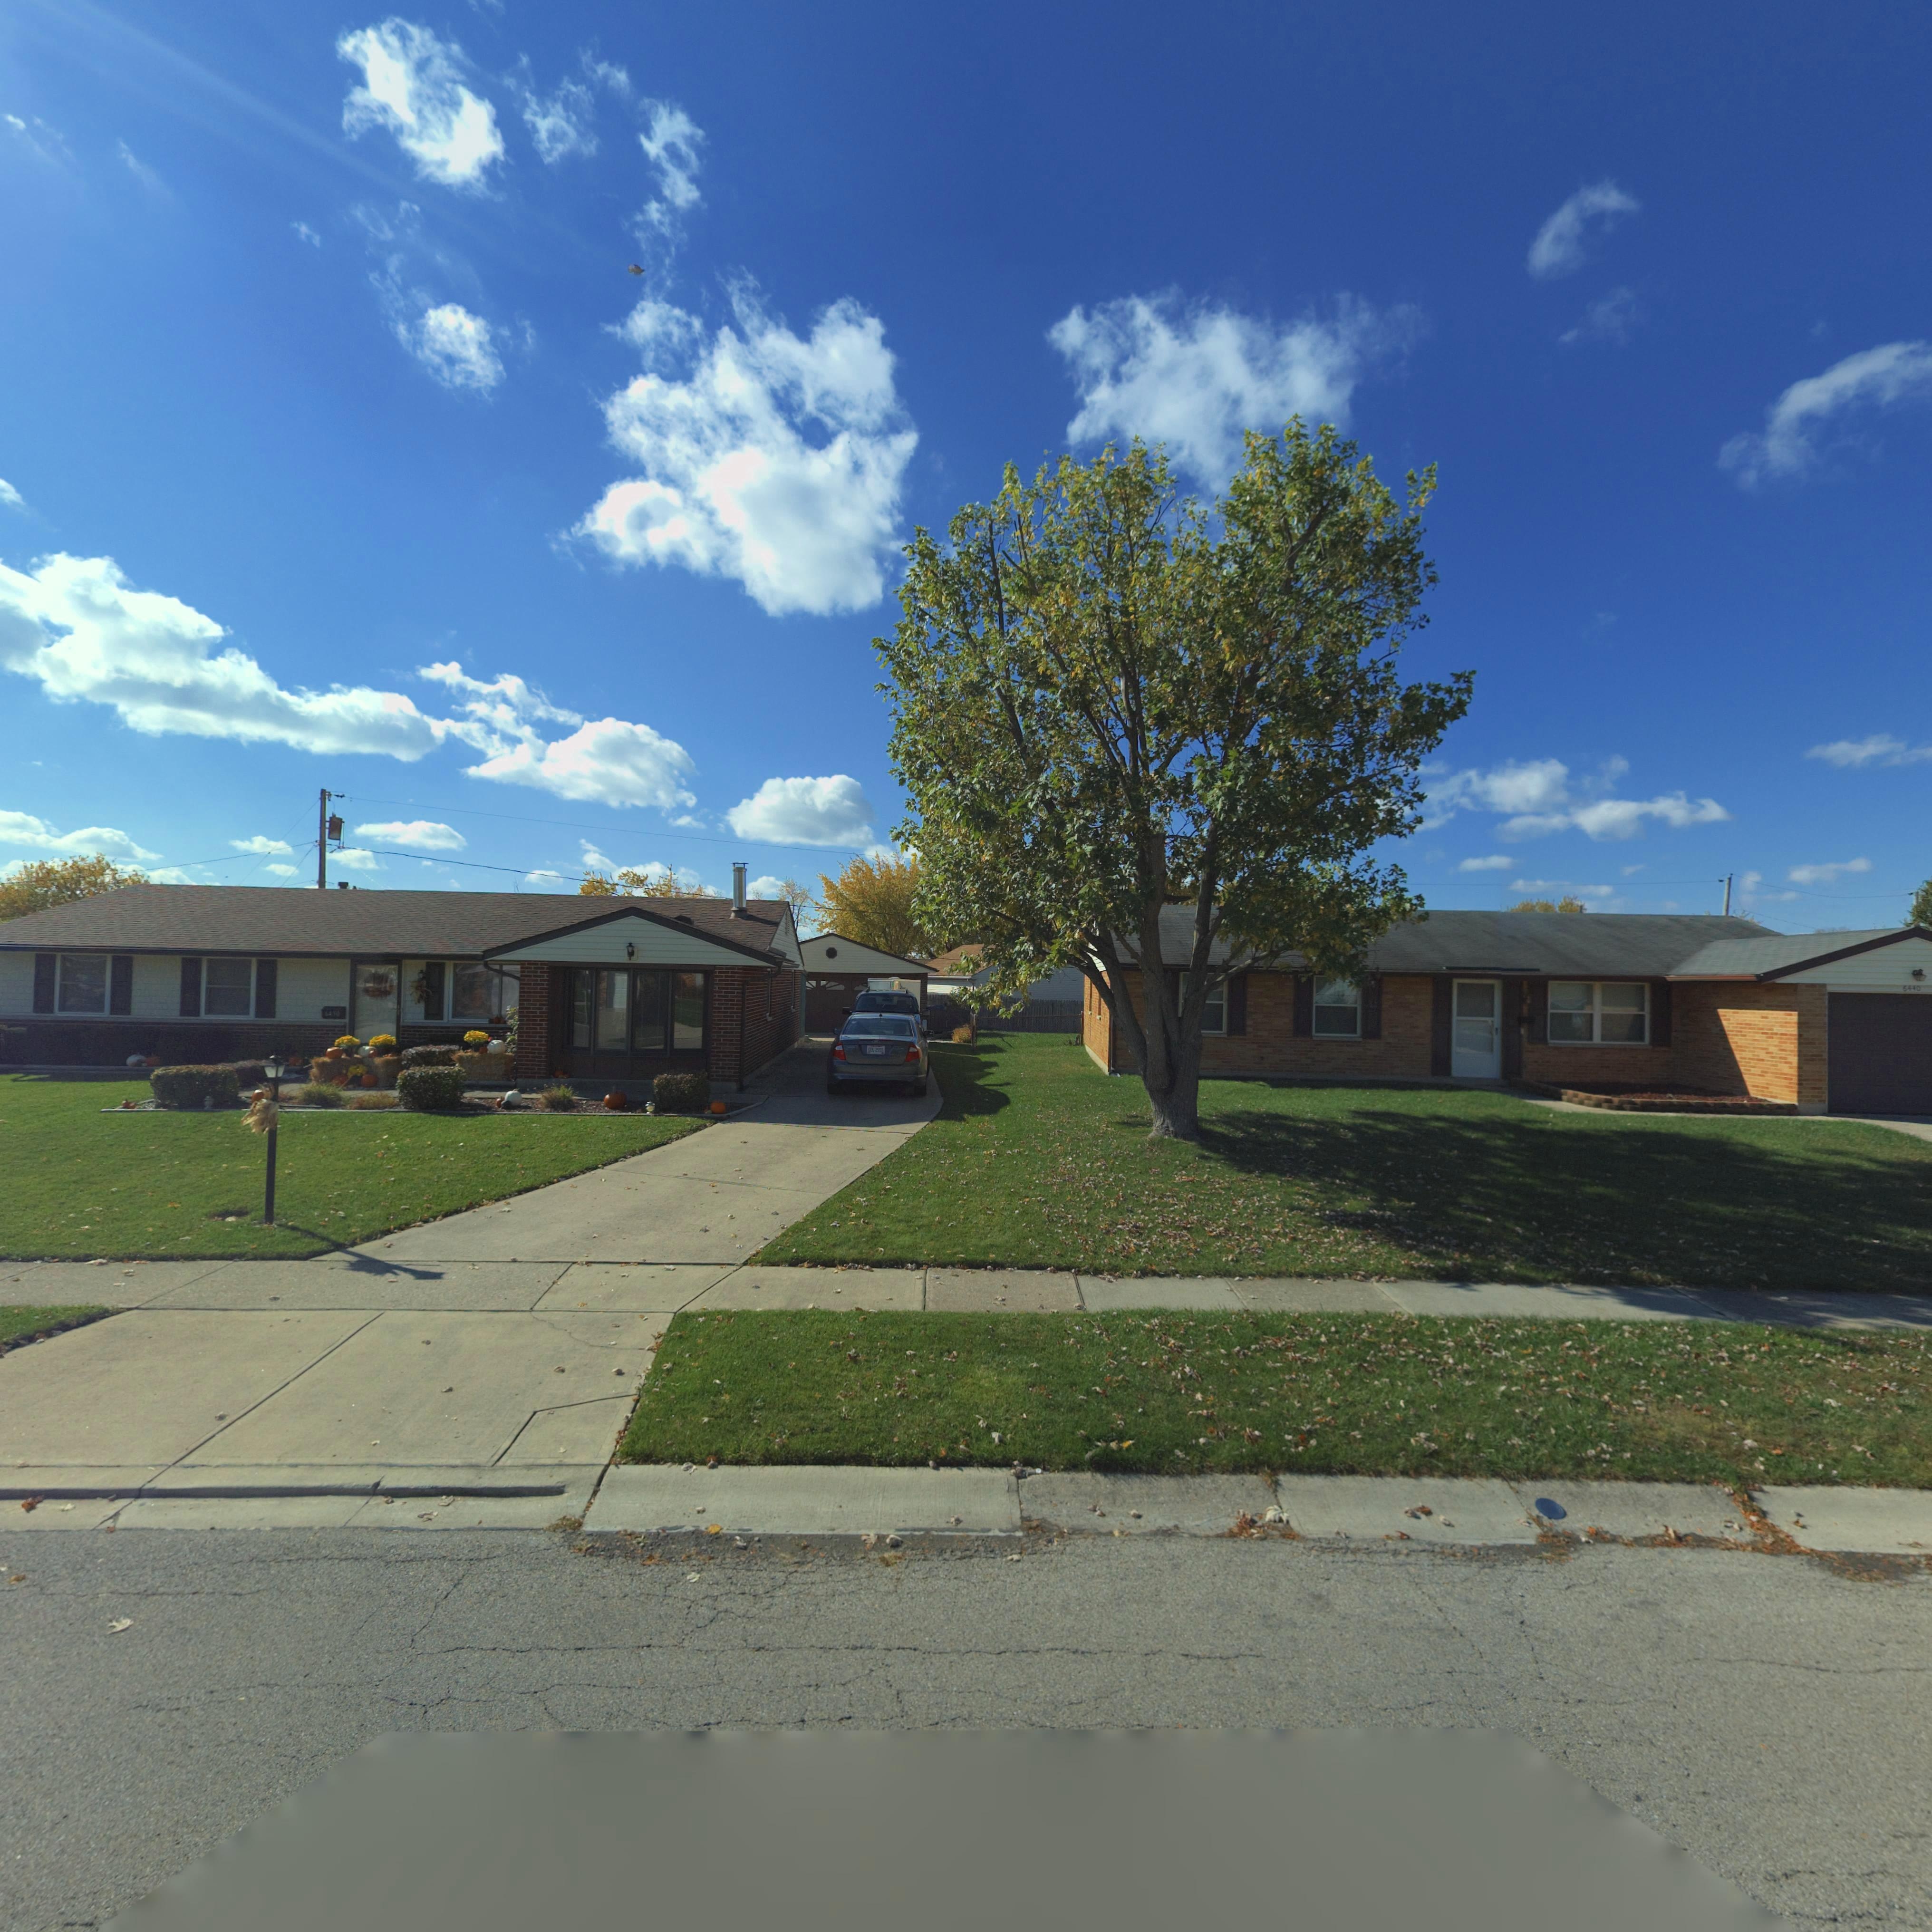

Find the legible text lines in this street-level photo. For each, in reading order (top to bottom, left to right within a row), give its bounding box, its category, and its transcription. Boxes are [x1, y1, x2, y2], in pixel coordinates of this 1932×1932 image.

[1902, 985, 1921, 992] StreetNumber: 6440
[324, 1010, 341, 1017] StreetNumber: 6450